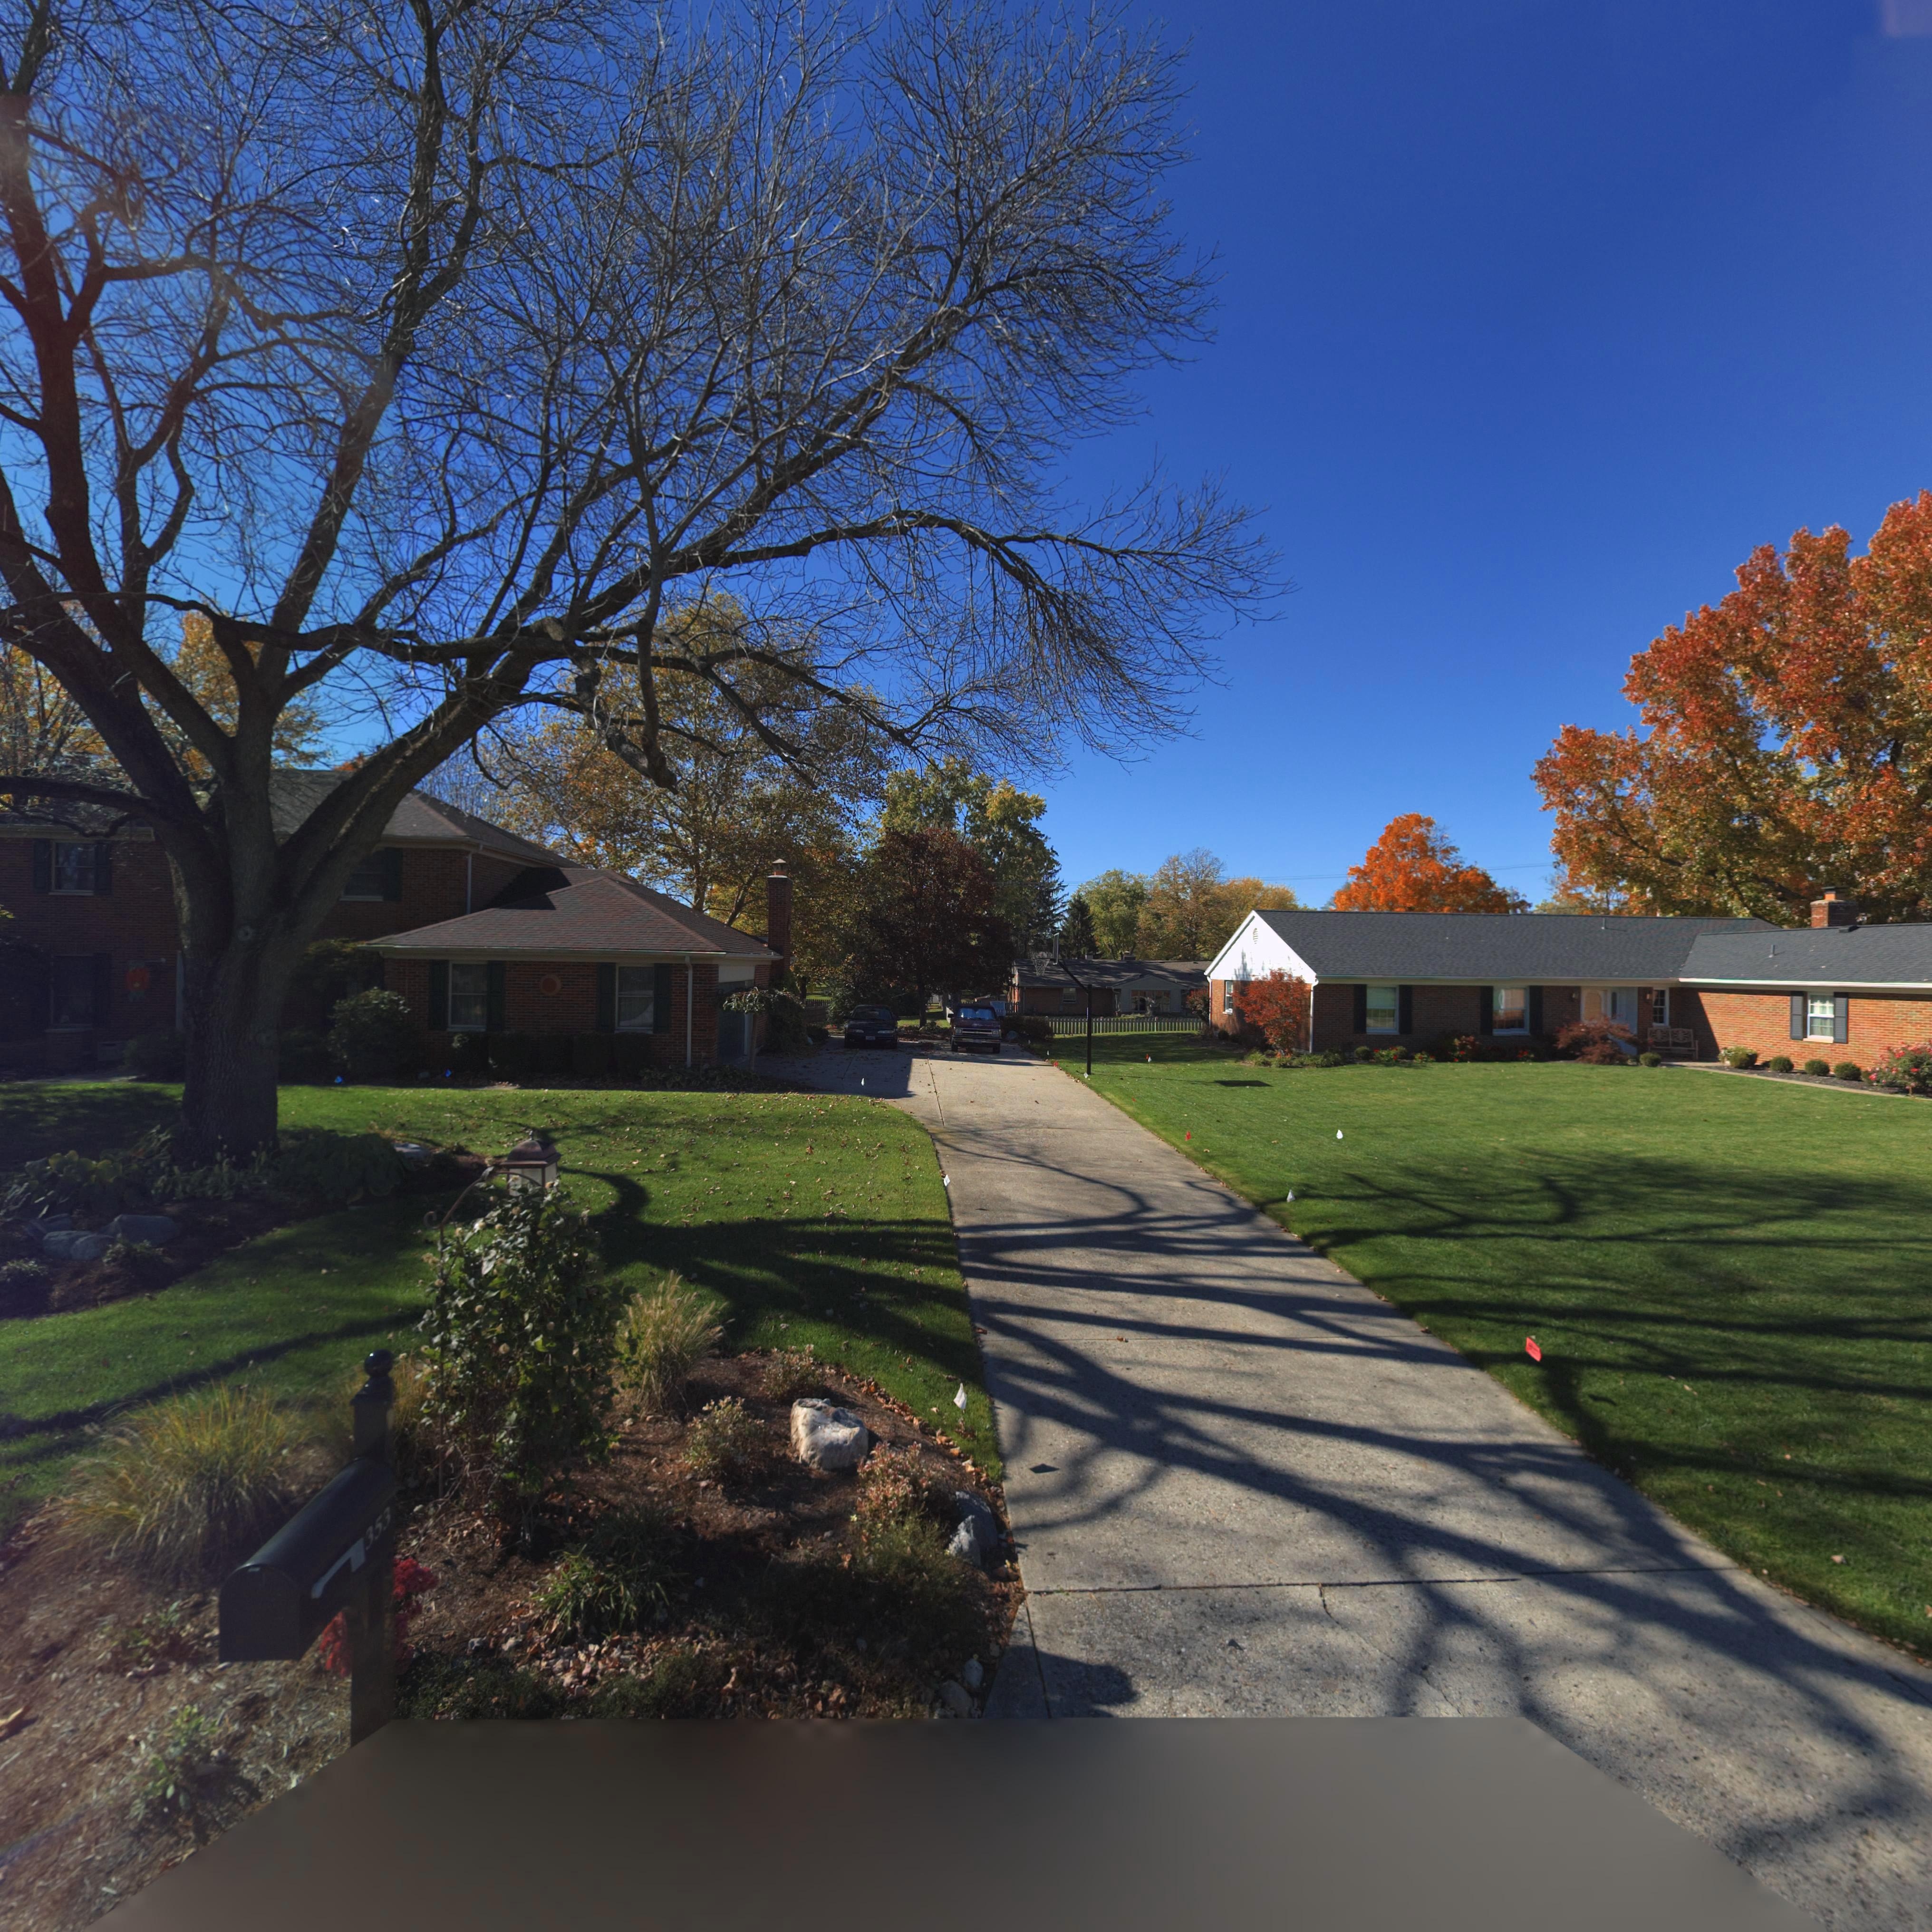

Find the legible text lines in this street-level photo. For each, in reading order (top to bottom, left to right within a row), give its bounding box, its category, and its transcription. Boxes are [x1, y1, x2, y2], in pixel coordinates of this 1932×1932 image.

[362, 1504, 393, 1553] StreetNumber: 353